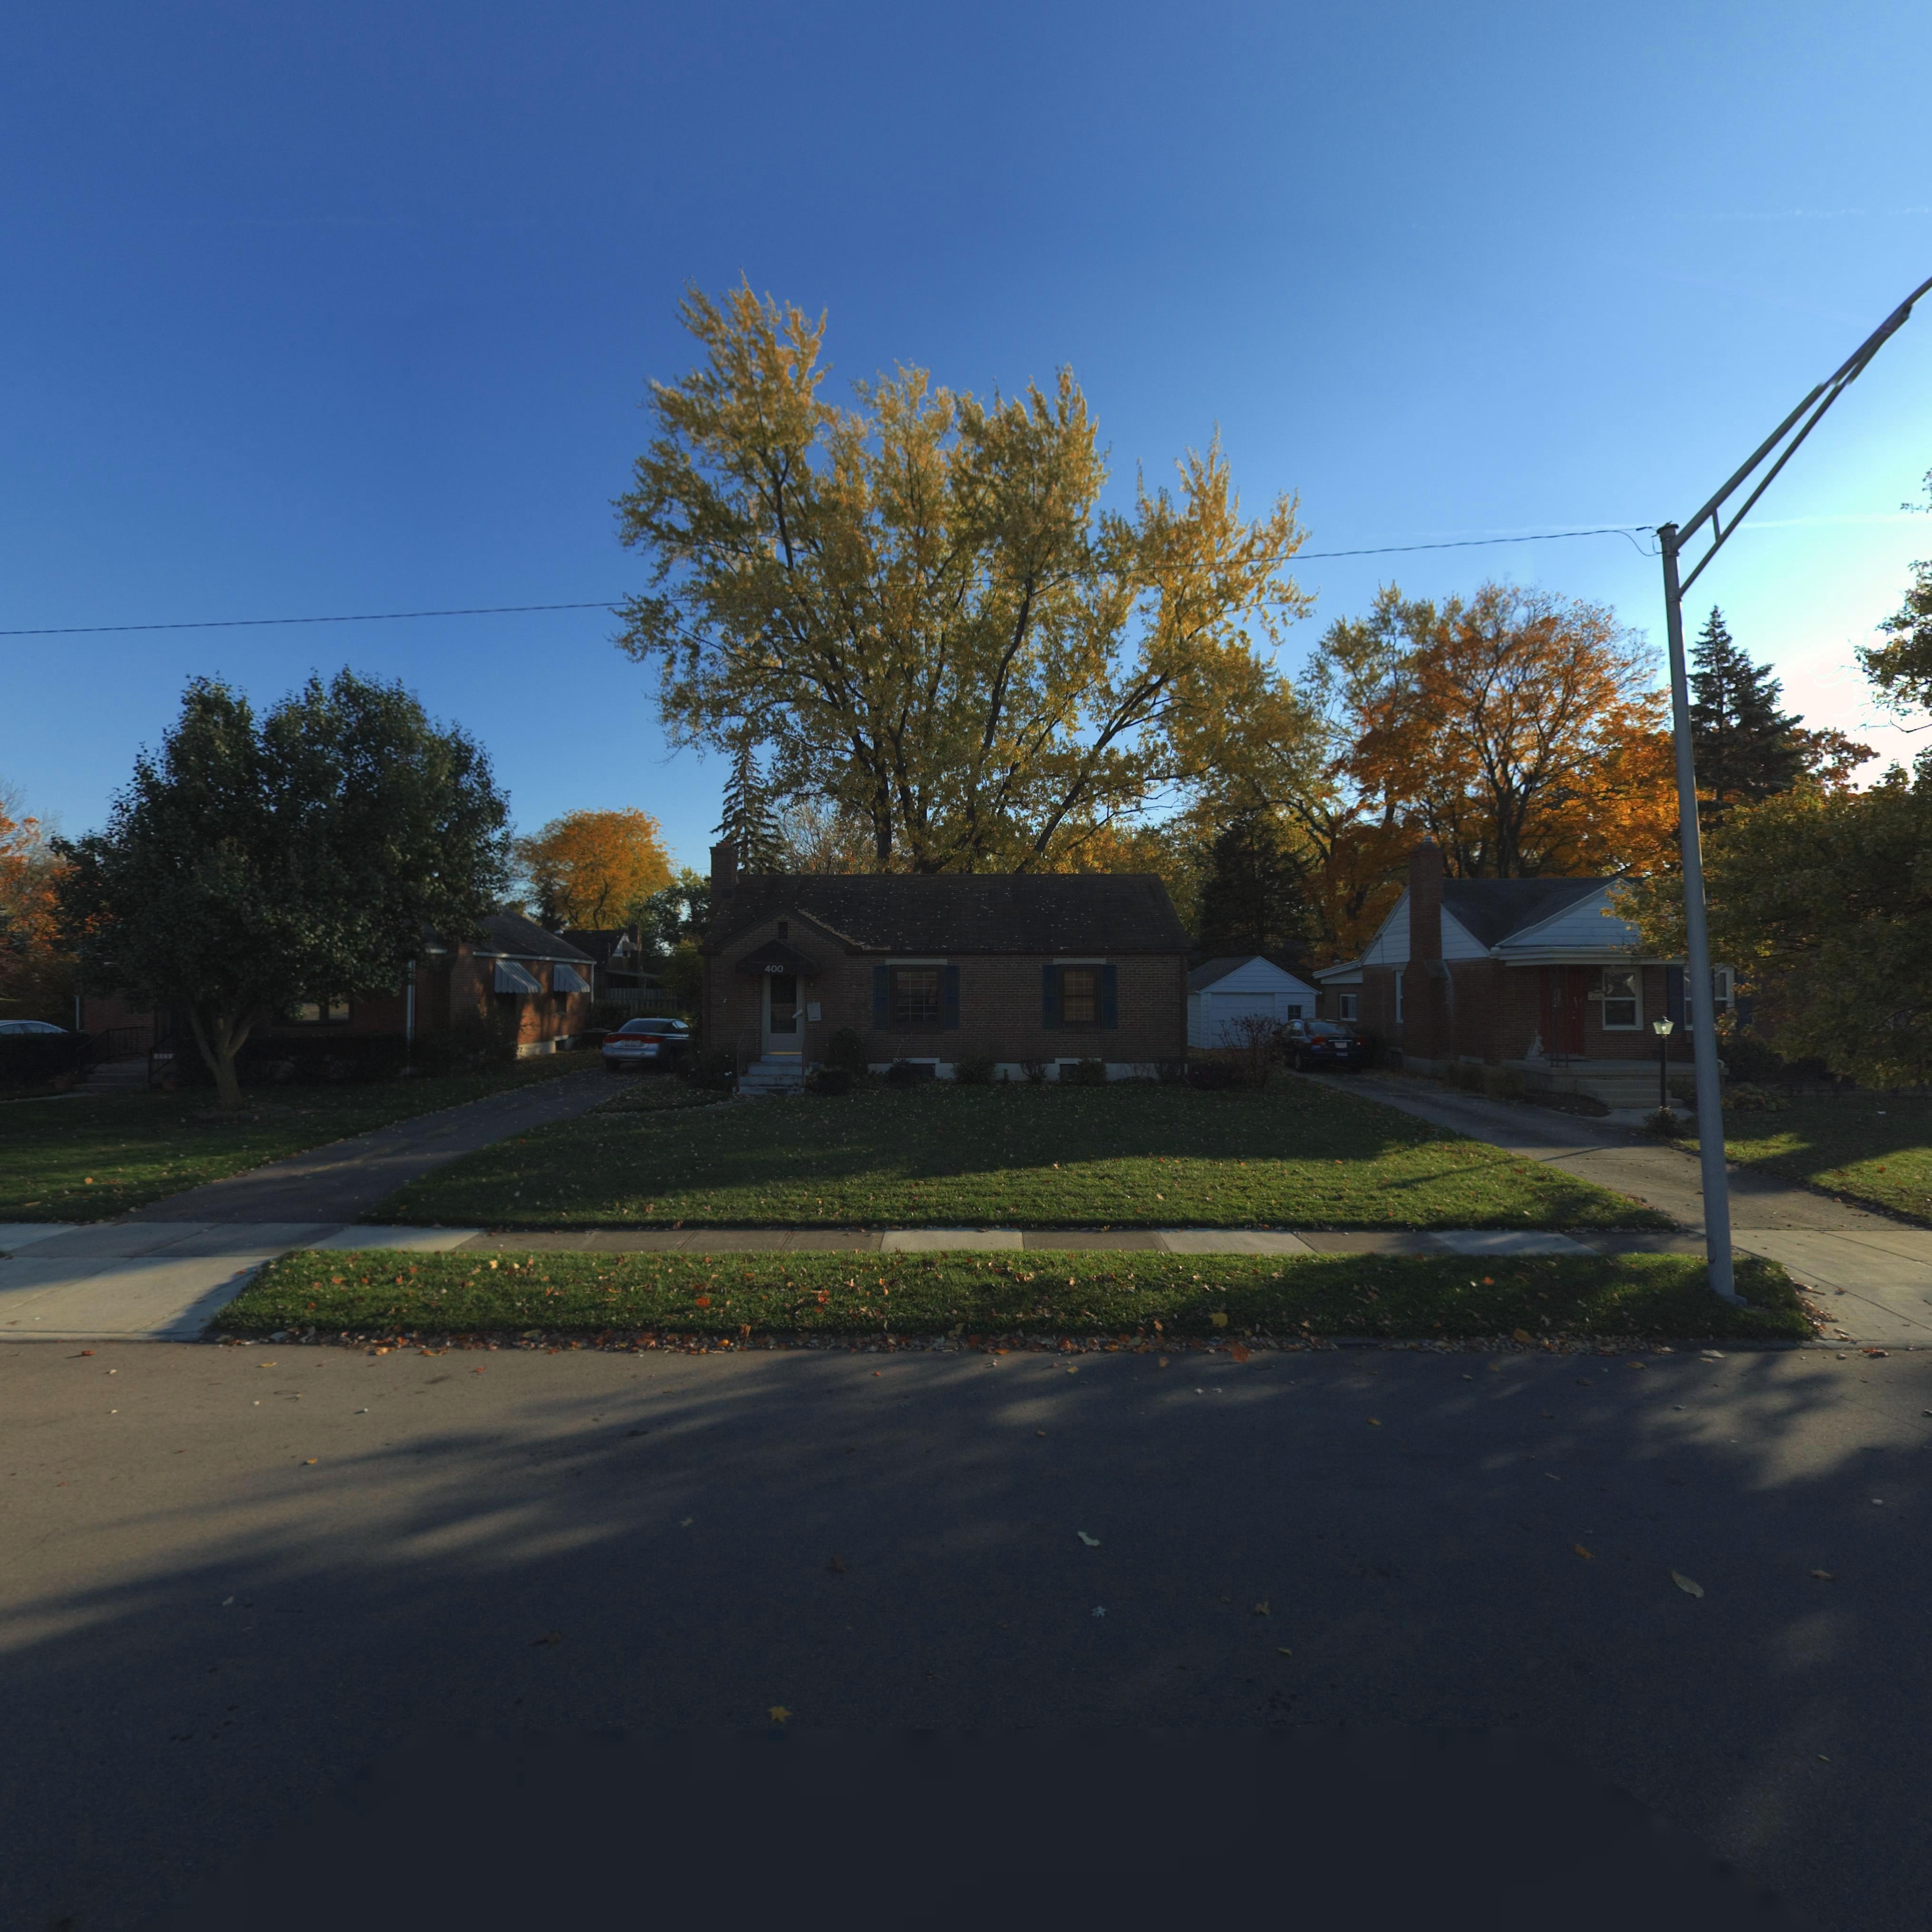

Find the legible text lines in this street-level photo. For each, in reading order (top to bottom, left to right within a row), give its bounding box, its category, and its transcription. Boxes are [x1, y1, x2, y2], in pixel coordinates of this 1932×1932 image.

[763, 964, 784, 973] StreetNumber: 400